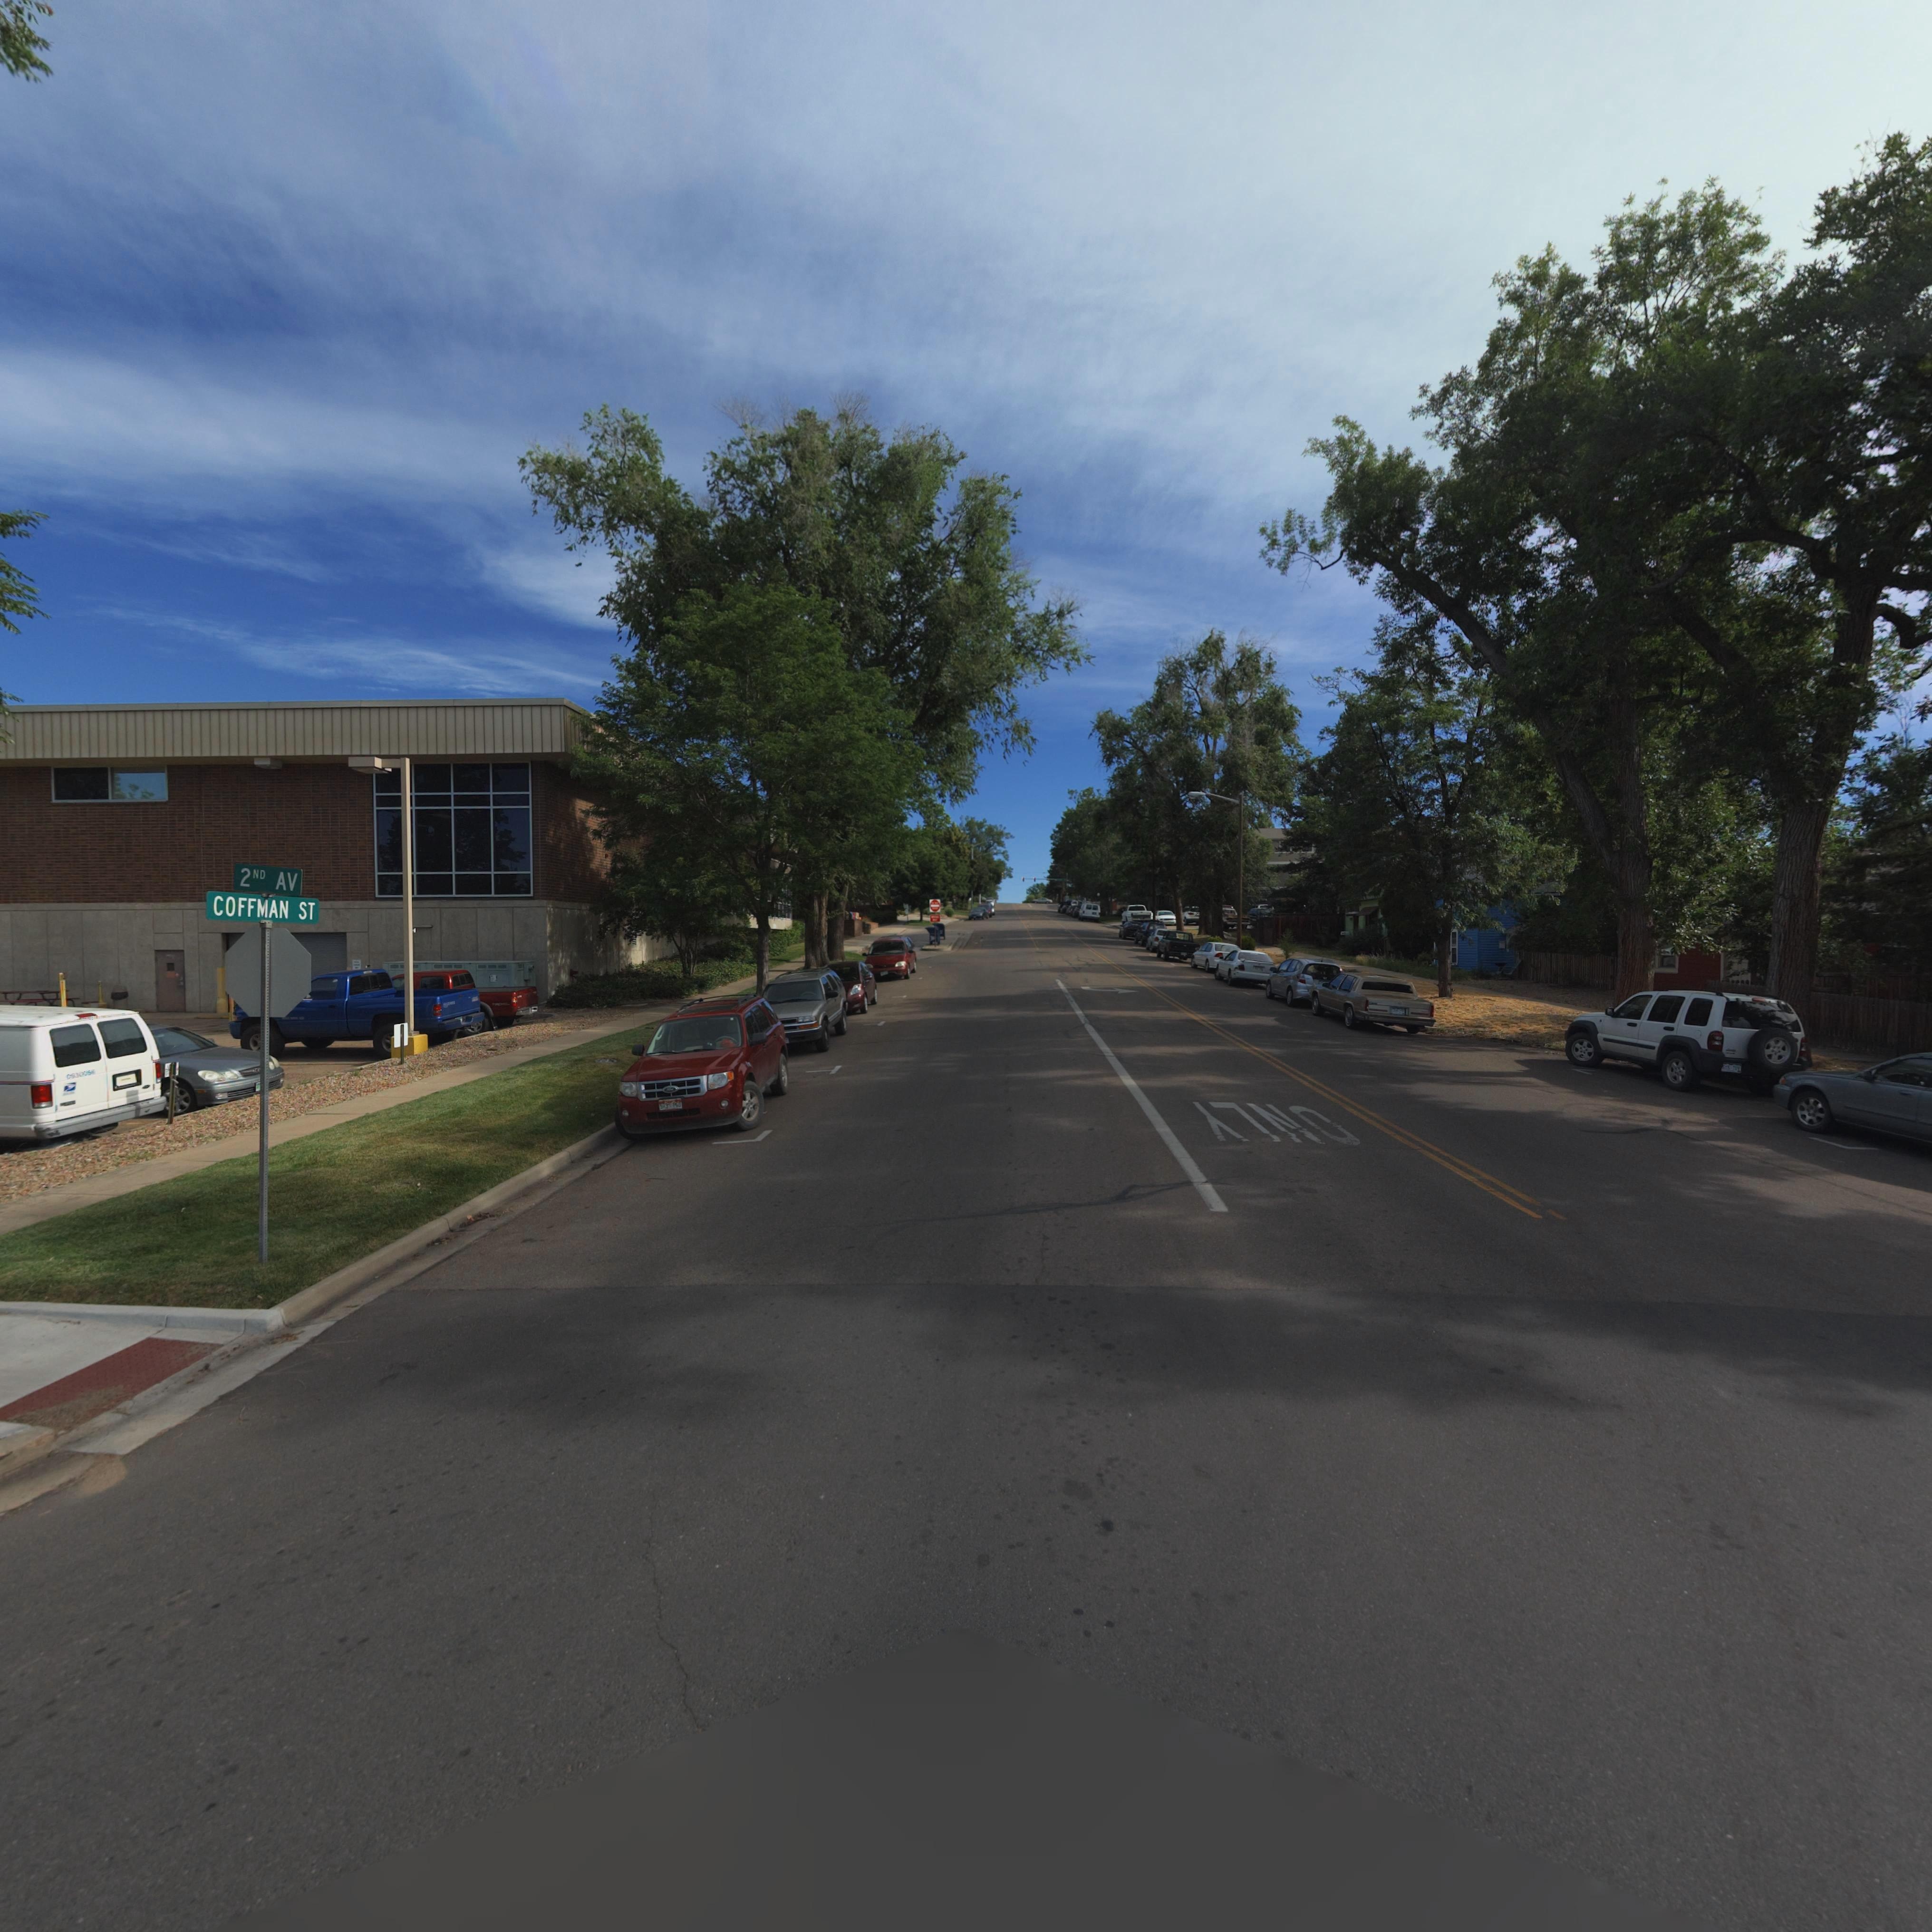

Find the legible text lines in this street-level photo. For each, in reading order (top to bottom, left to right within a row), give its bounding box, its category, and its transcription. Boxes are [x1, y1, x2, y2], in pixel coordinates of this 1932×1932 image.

[240, 867, 299, 892] StreetName: 2nd AV
[213, 895, 314, 919] StreetName: COFFMAN ST